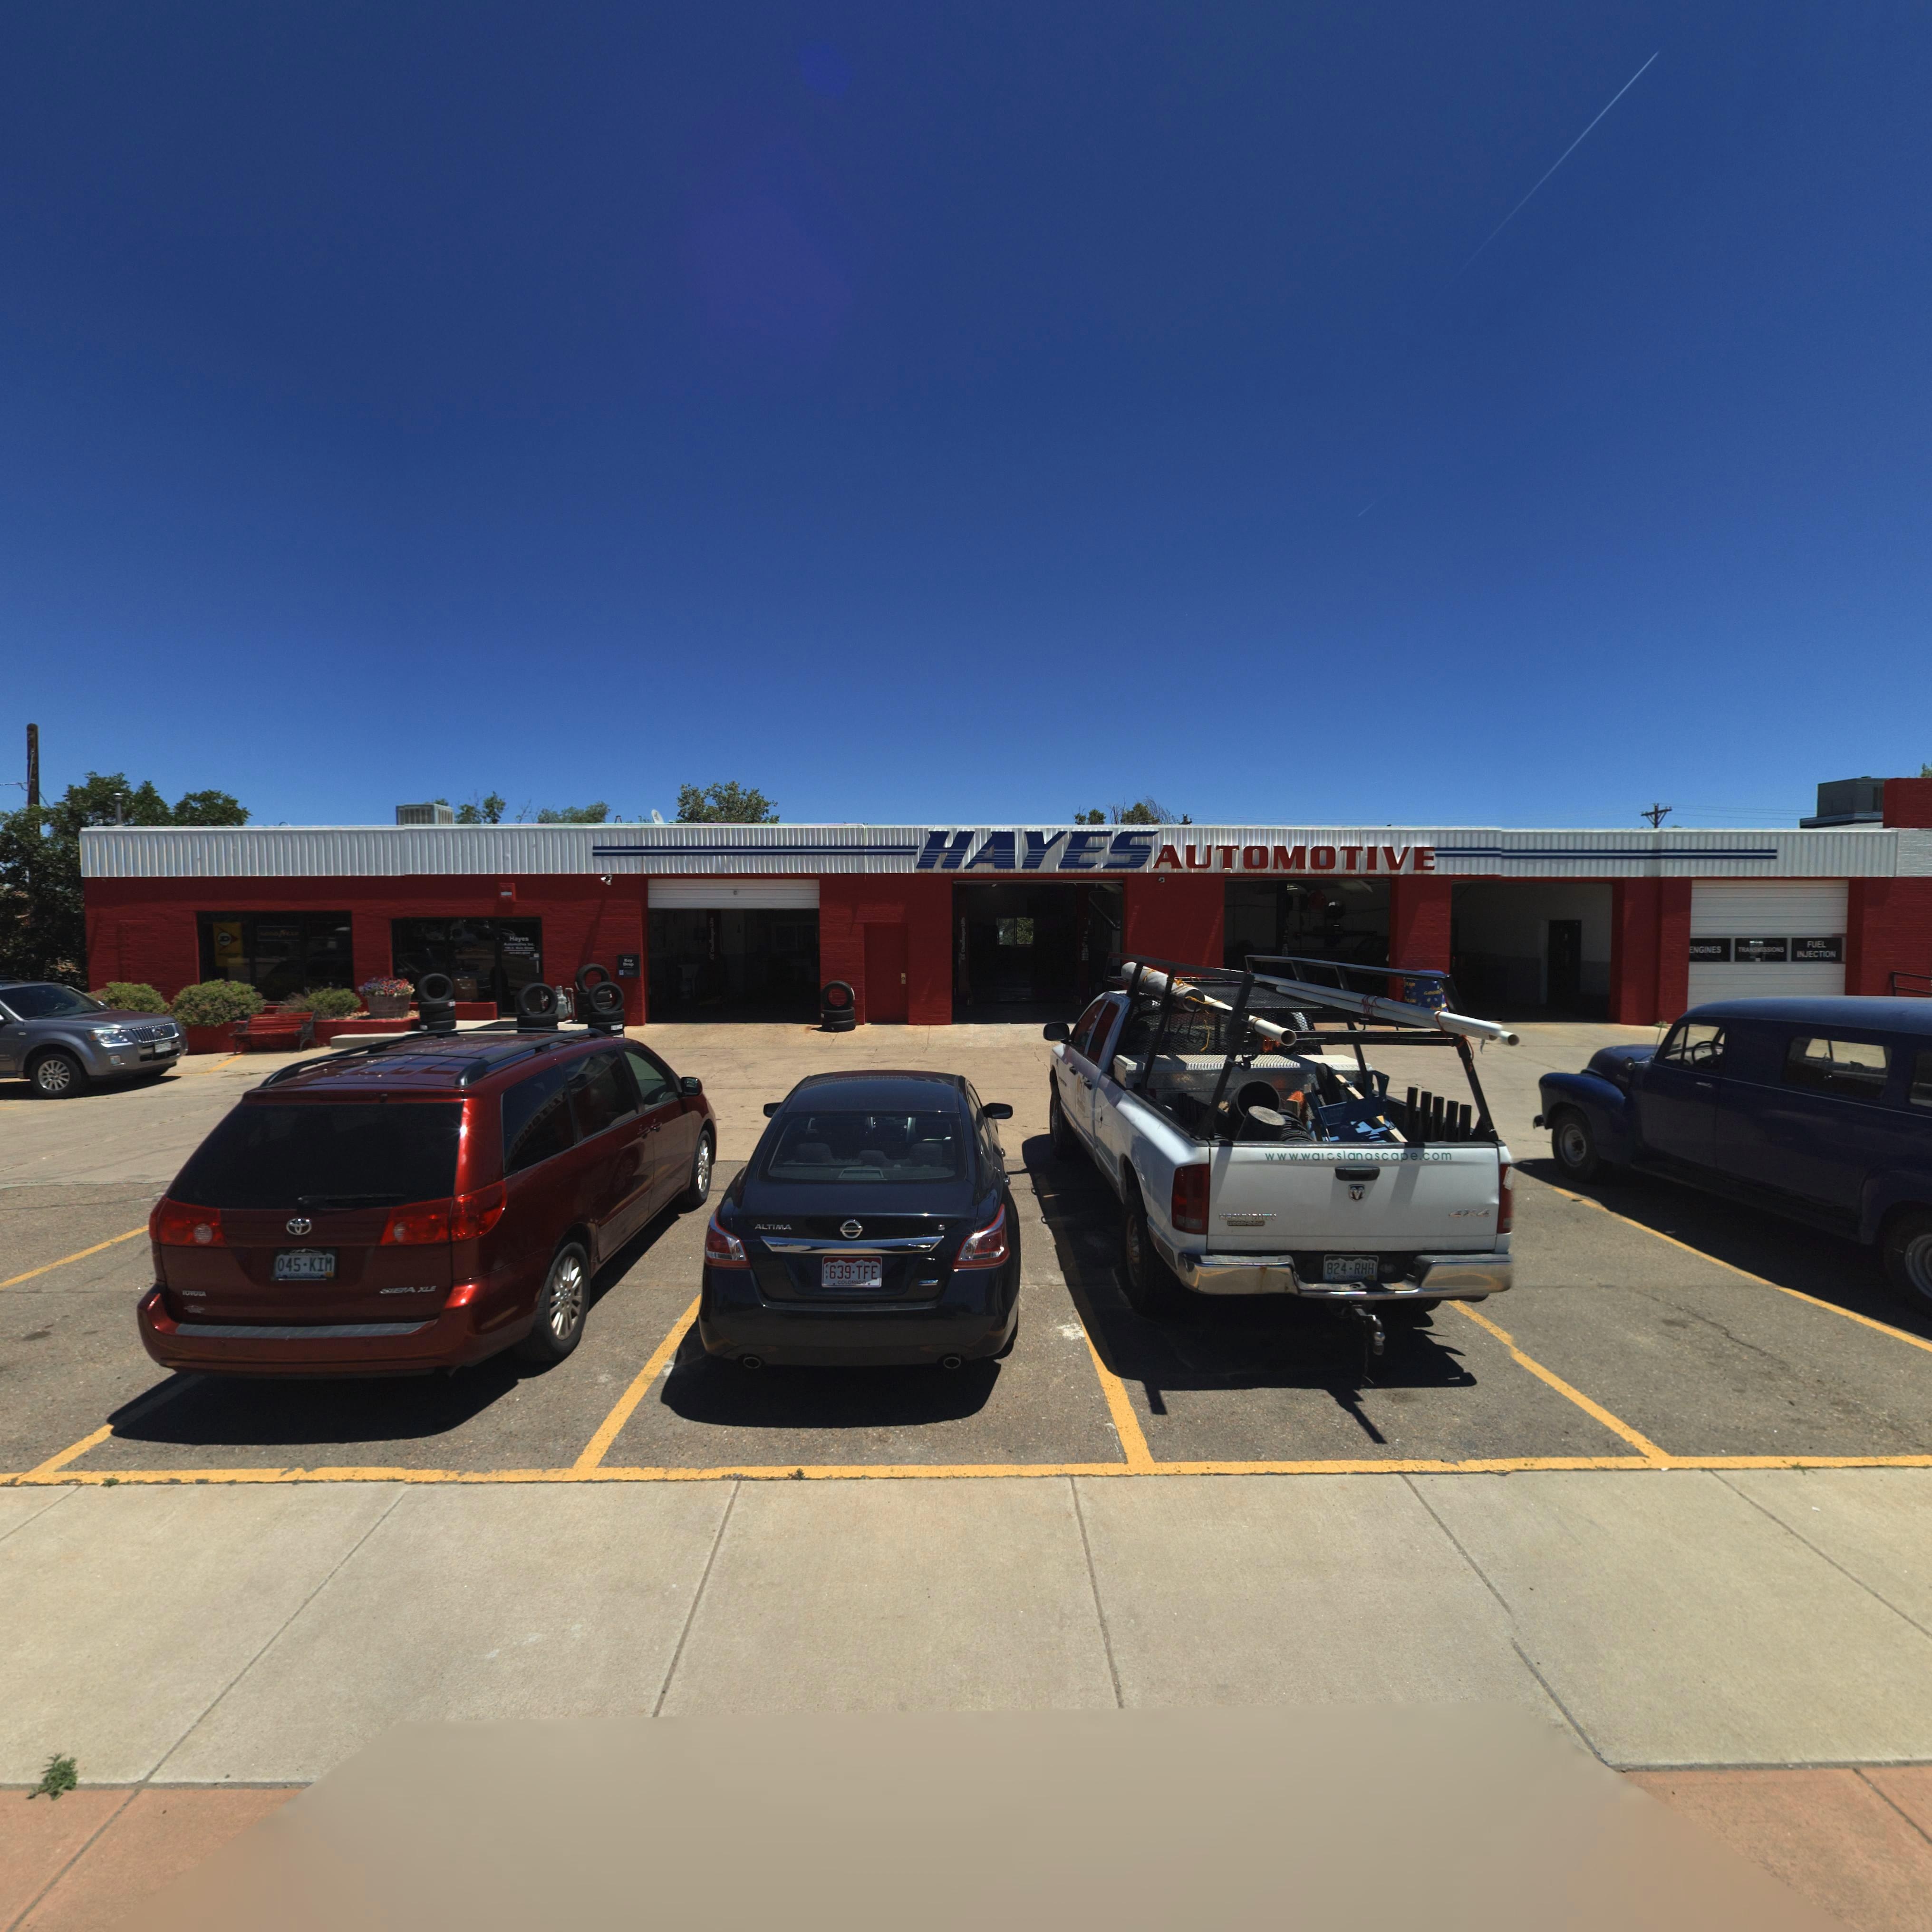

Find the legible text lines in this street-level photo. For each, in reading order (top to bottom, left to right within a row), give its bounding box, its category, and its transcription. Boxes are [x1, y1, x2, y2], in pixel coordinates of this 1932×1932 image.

[914, 830, 1436, 871] BusinessName: HAYES AUTOMOTIVE
[509, 936, 529, 942] BusinessName: Hayes